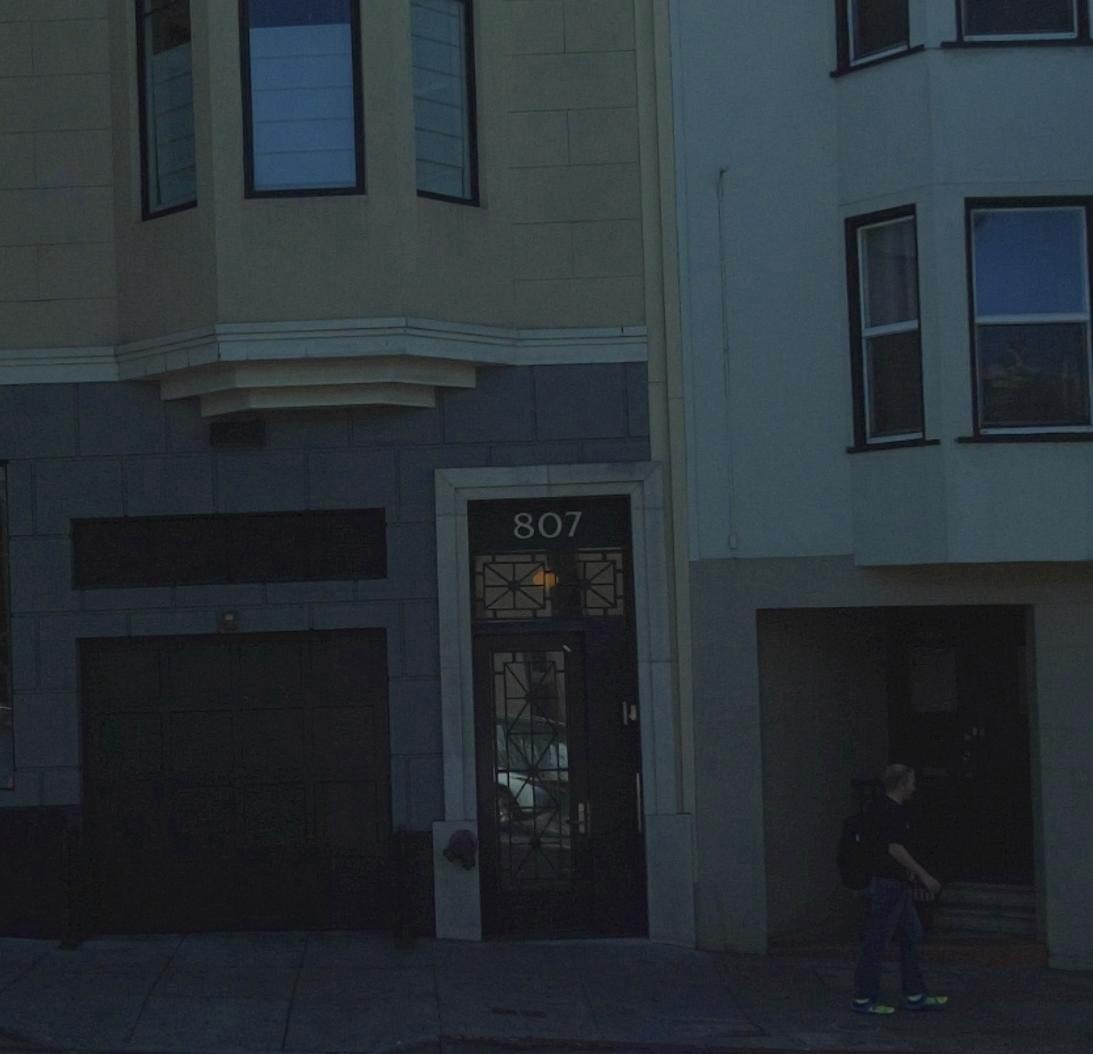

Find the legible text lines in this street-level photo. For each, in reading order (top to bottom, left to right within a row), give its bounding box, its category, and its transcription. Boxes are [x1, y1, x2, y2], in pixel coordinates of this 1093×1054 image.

[511, 509, 584, 541] StreetNumber: 807